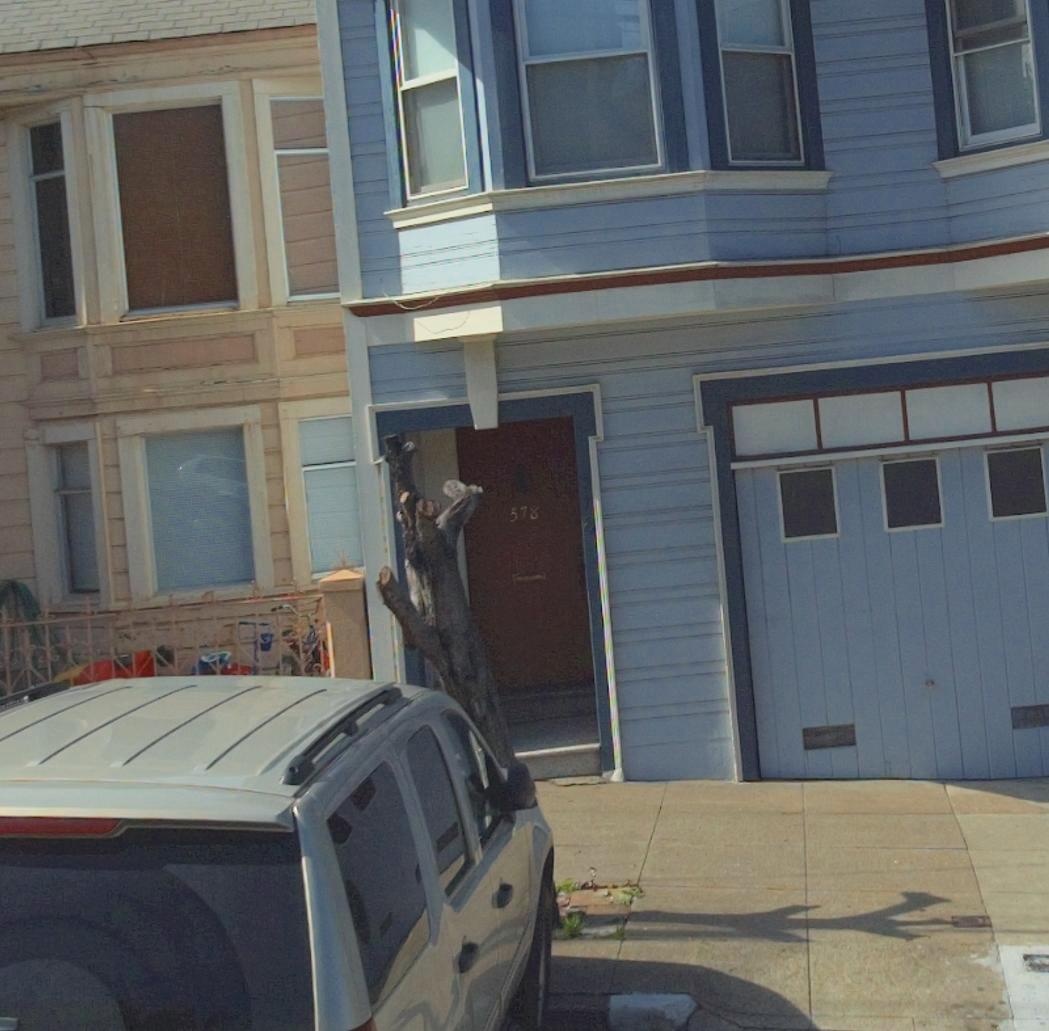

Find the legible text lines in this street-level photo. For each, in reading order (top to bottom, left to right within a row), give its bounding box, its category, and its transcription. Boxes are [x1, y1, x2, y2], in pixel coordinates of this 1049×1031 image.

[508, 504, 541, 524] StreetNumber: 578